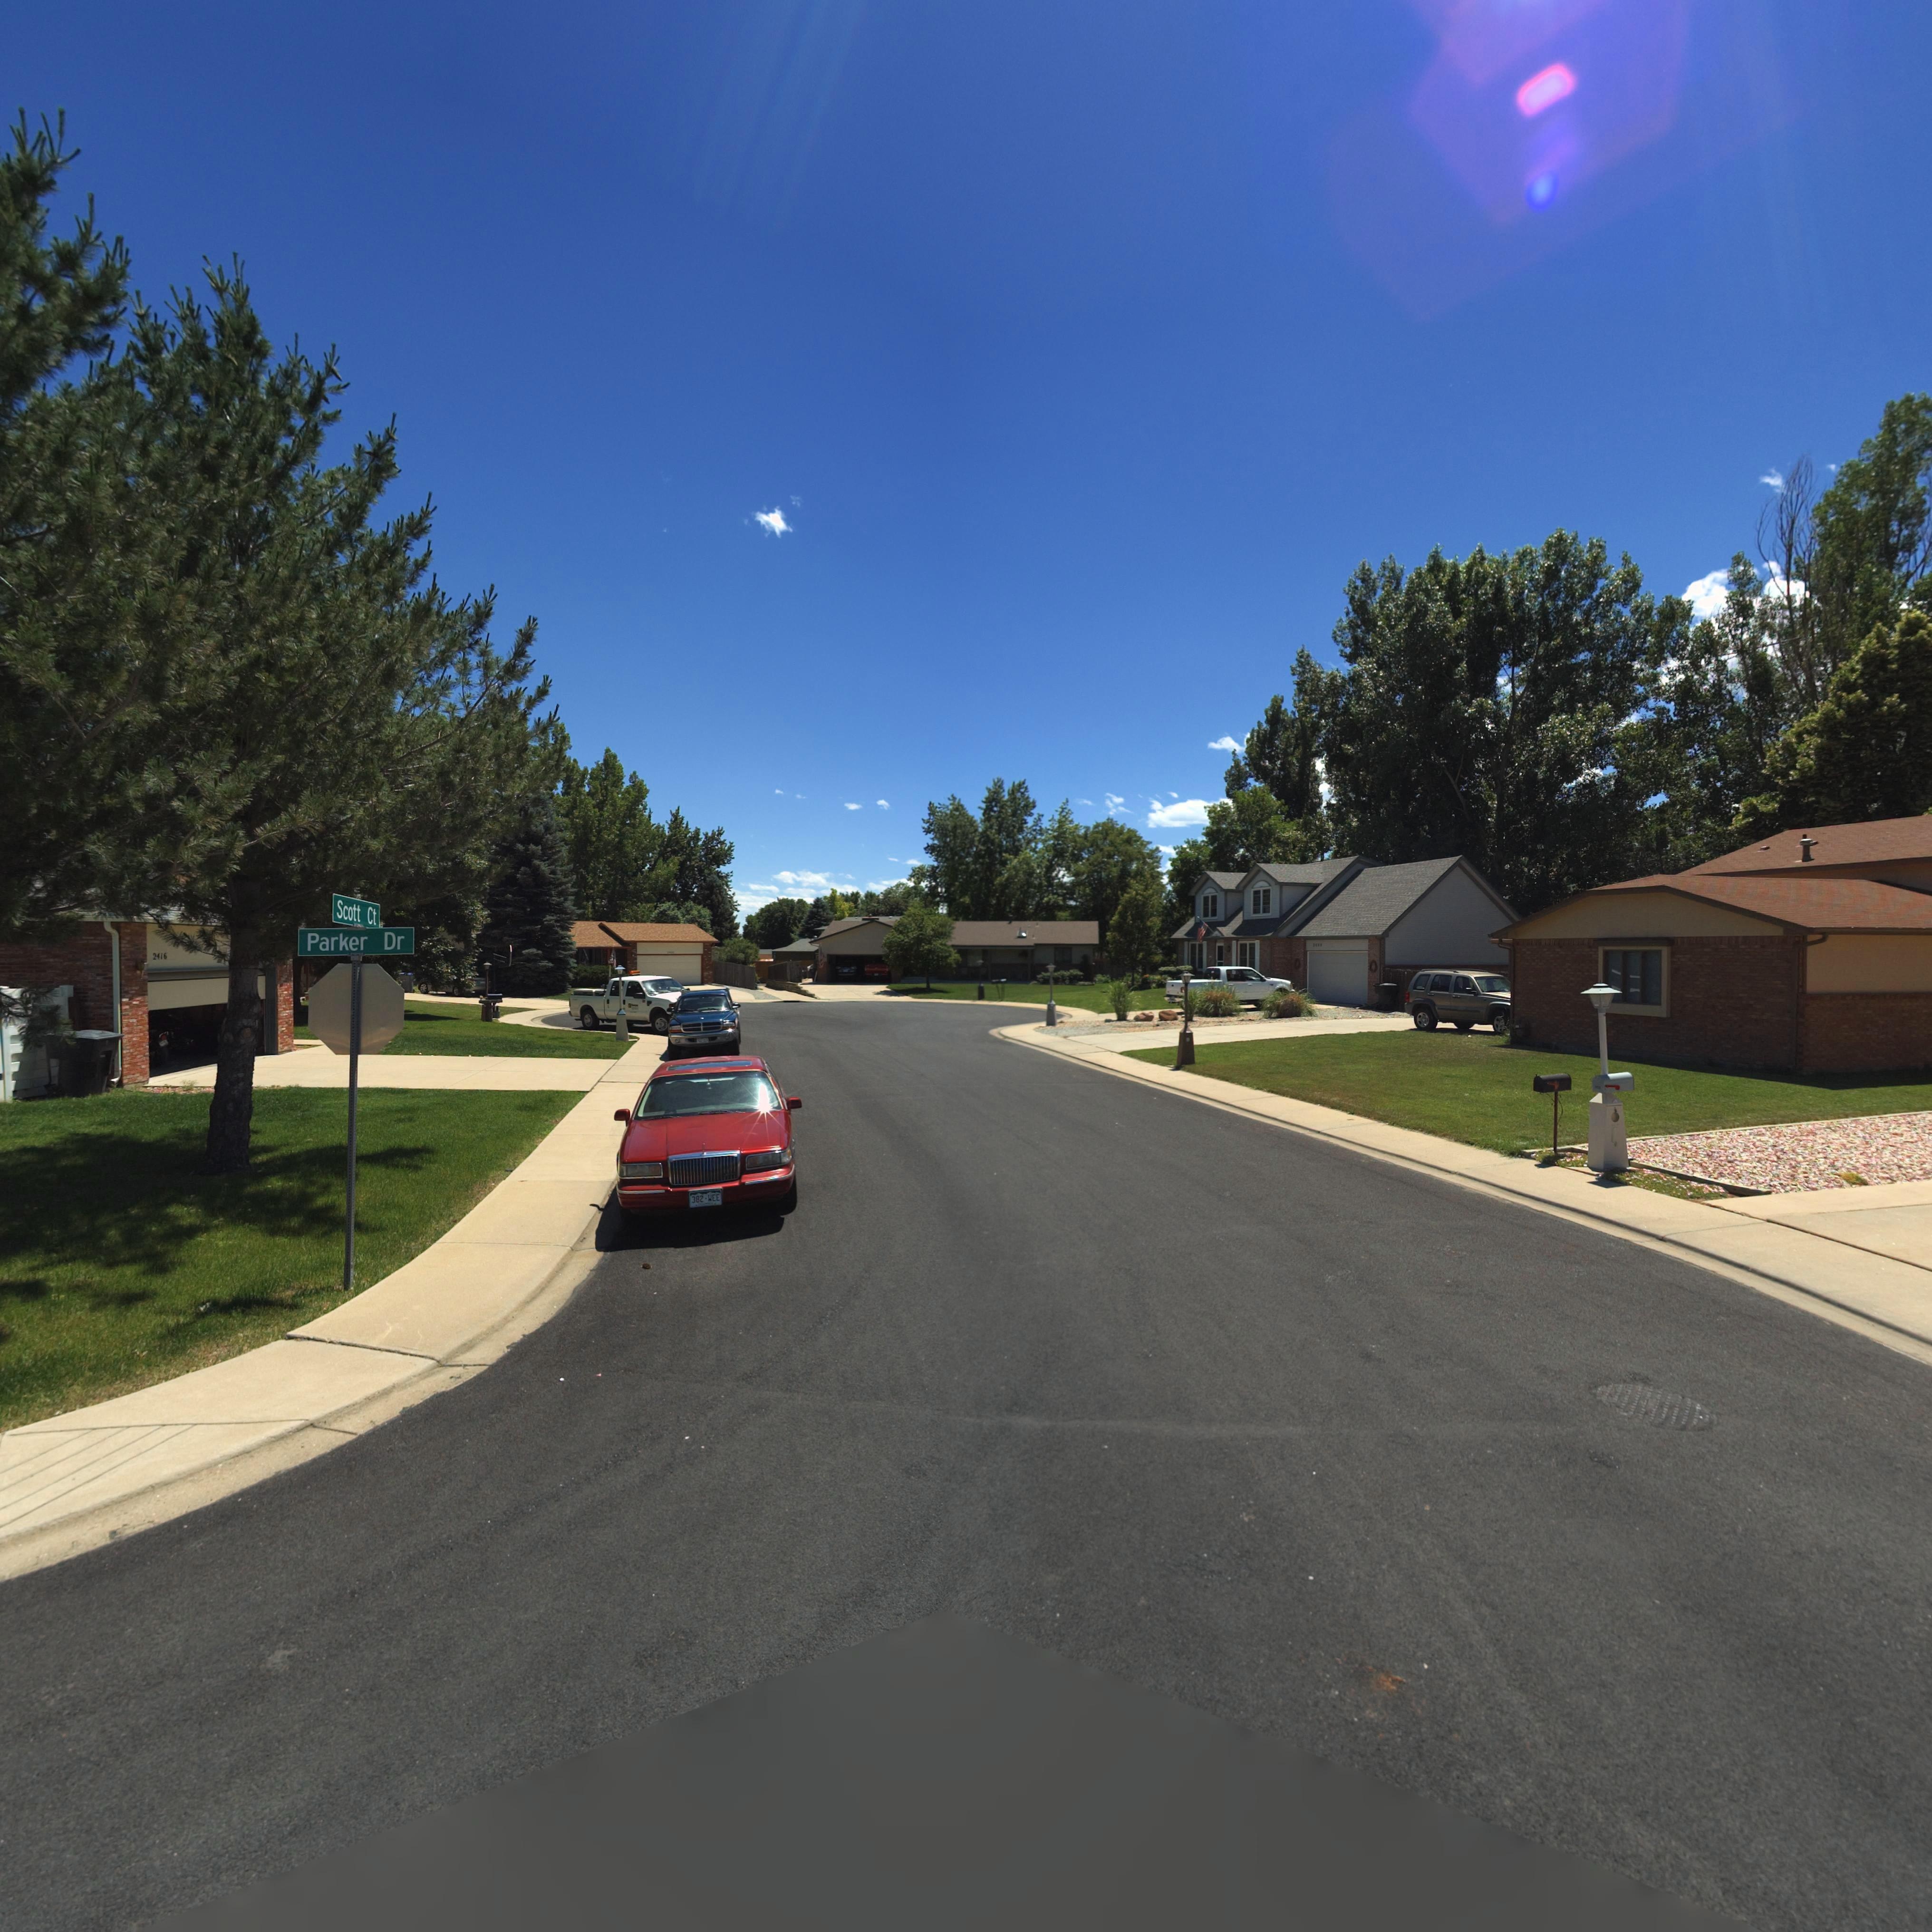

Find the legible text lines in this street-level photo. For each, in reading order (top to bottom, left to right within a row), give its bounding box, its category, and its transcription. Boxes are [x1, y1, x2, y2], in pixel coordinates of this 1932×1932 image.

[336, 899, 377, 926] StreetName: Scott Ct
[307, 931, 405, 951] StreetName: Parker Dr
[152, 952, 167, 960] StreetNumber: 2416